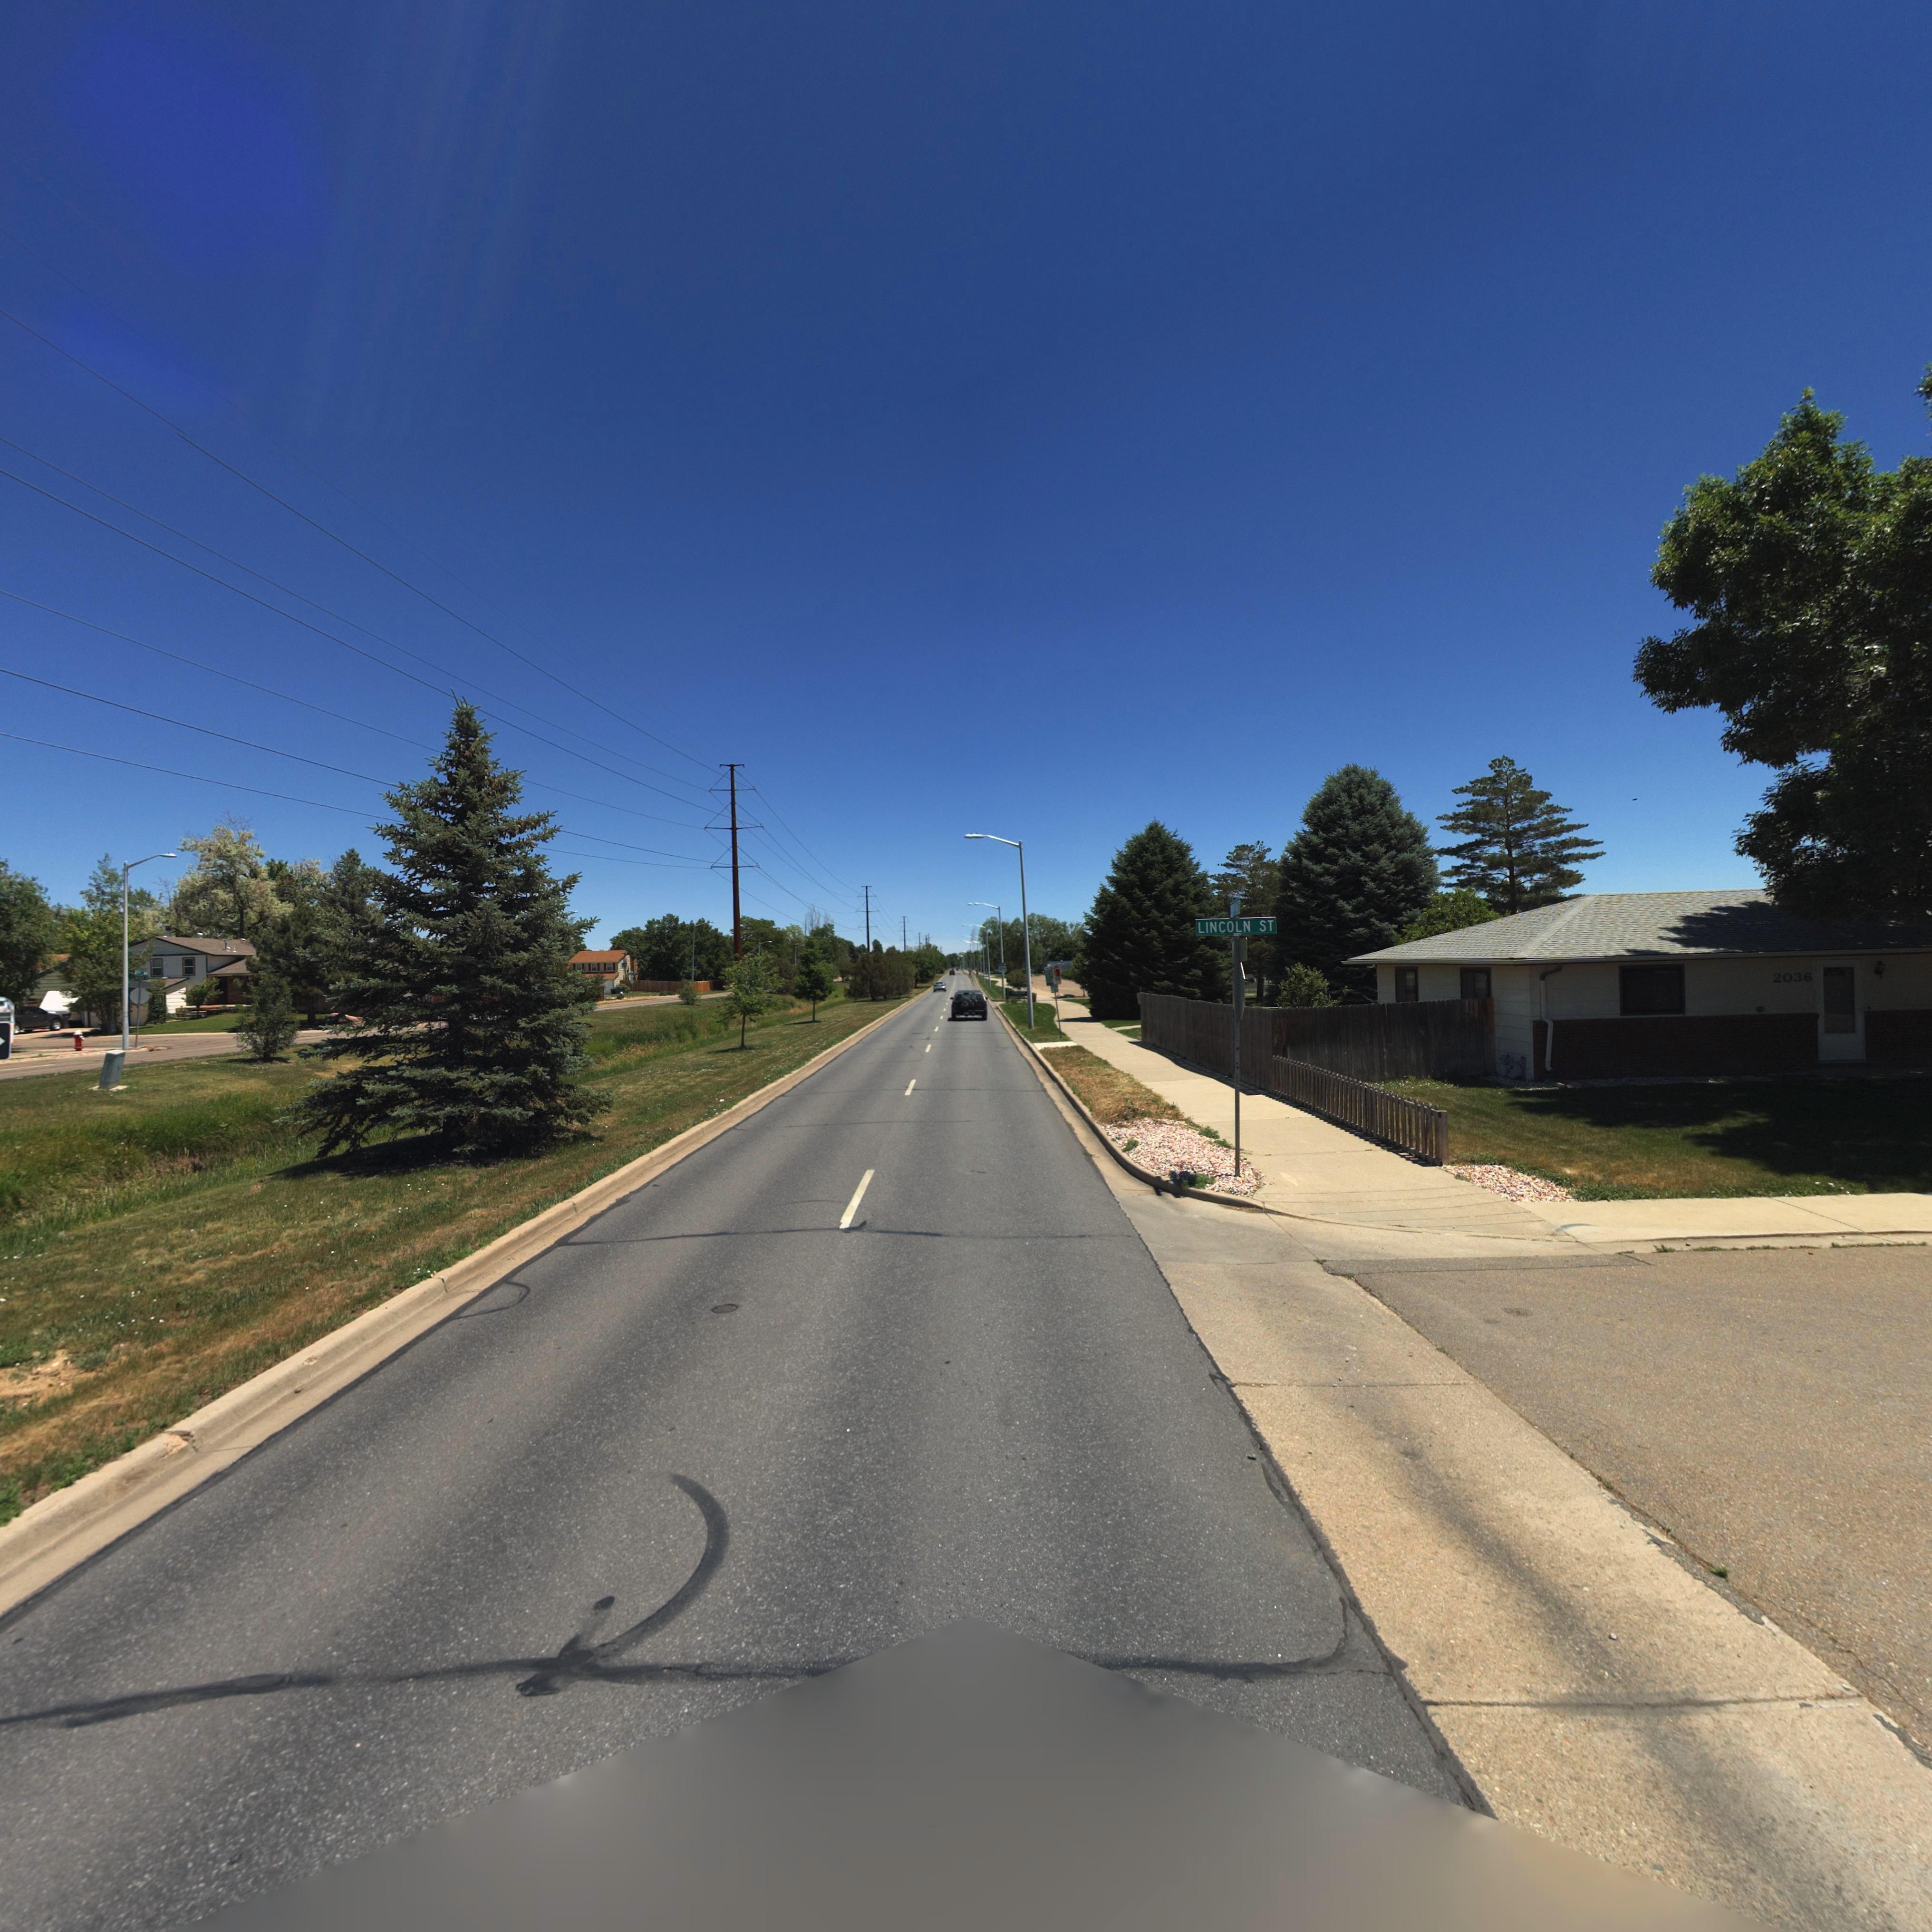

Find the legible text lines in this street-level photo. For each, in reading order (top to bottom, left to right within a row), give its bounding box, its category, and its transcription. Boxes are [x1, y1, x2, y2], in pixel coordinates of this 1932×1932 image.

[1197, 919, 1275, 934] StreetName: LINCOLN ST
[134, 969, 149, 975] StreetName: 2** A**
[1773, 972, 1812, 983] StreetNumber: 2036